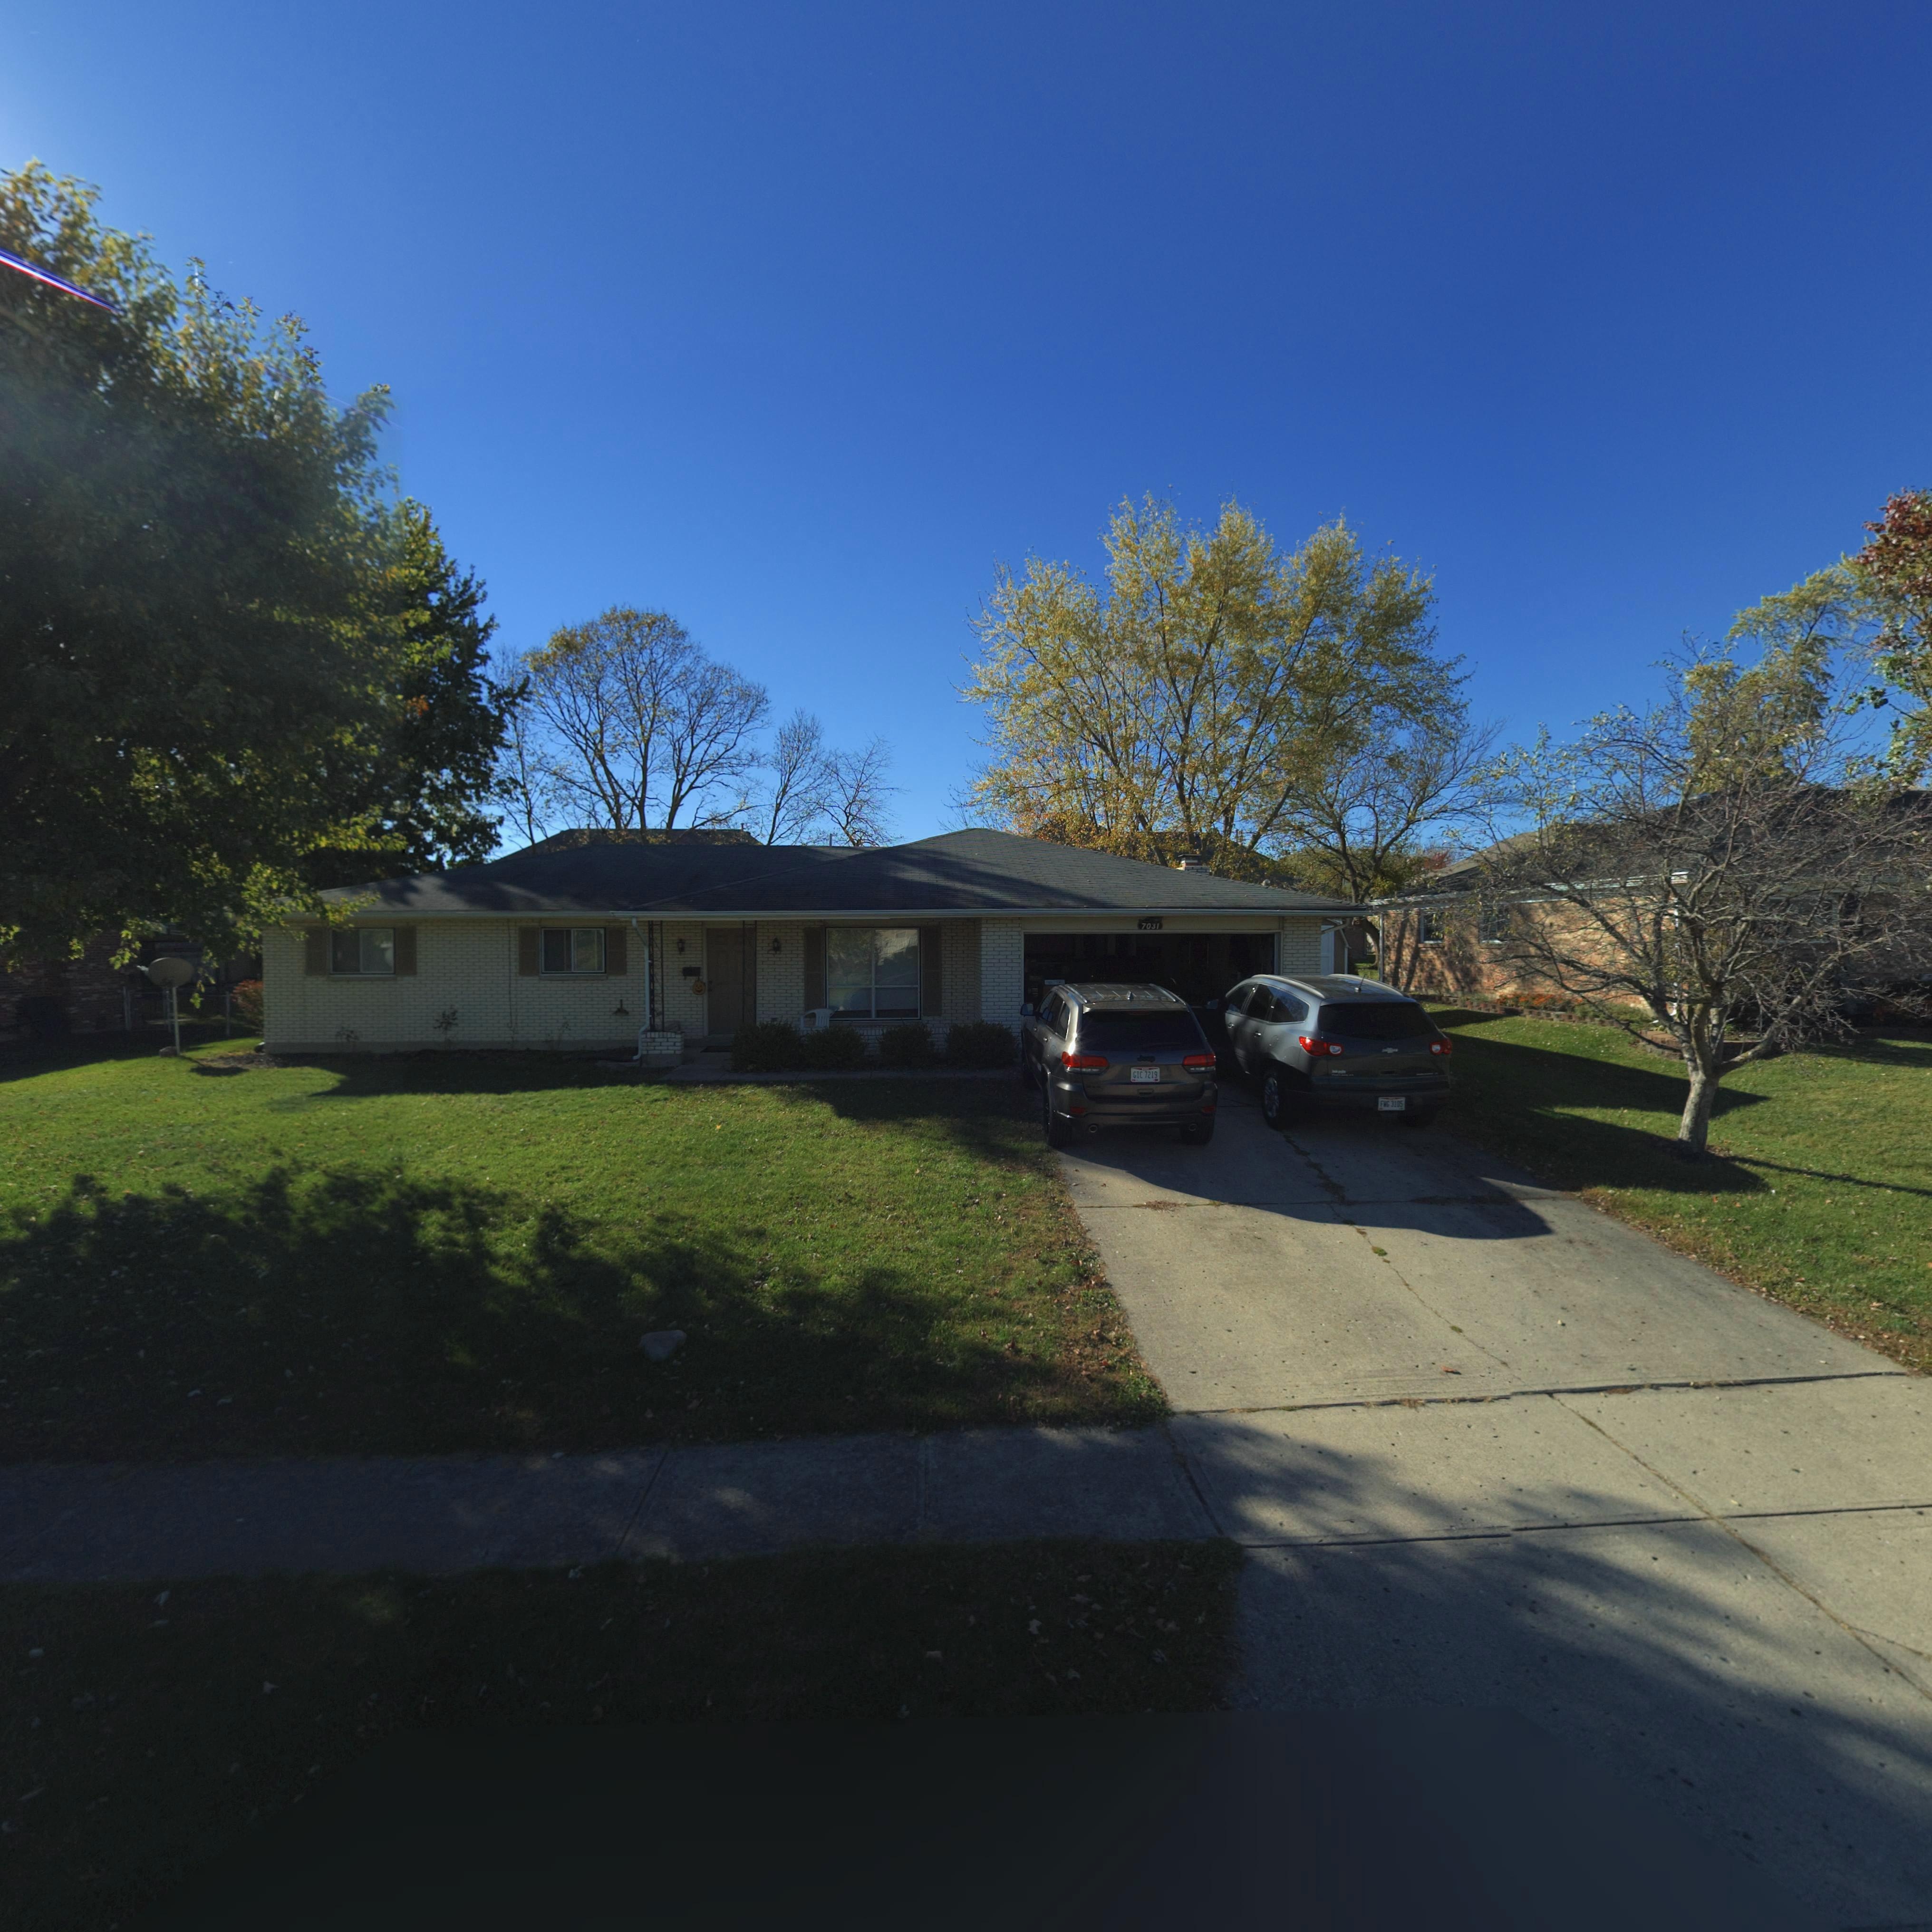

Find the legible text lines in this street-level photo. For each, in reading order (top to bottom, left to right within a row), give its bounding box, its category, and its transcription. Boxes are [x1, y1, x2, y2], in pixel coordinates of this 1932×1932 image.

[1140, 922, 1160, 930] StreetNumber: 7031